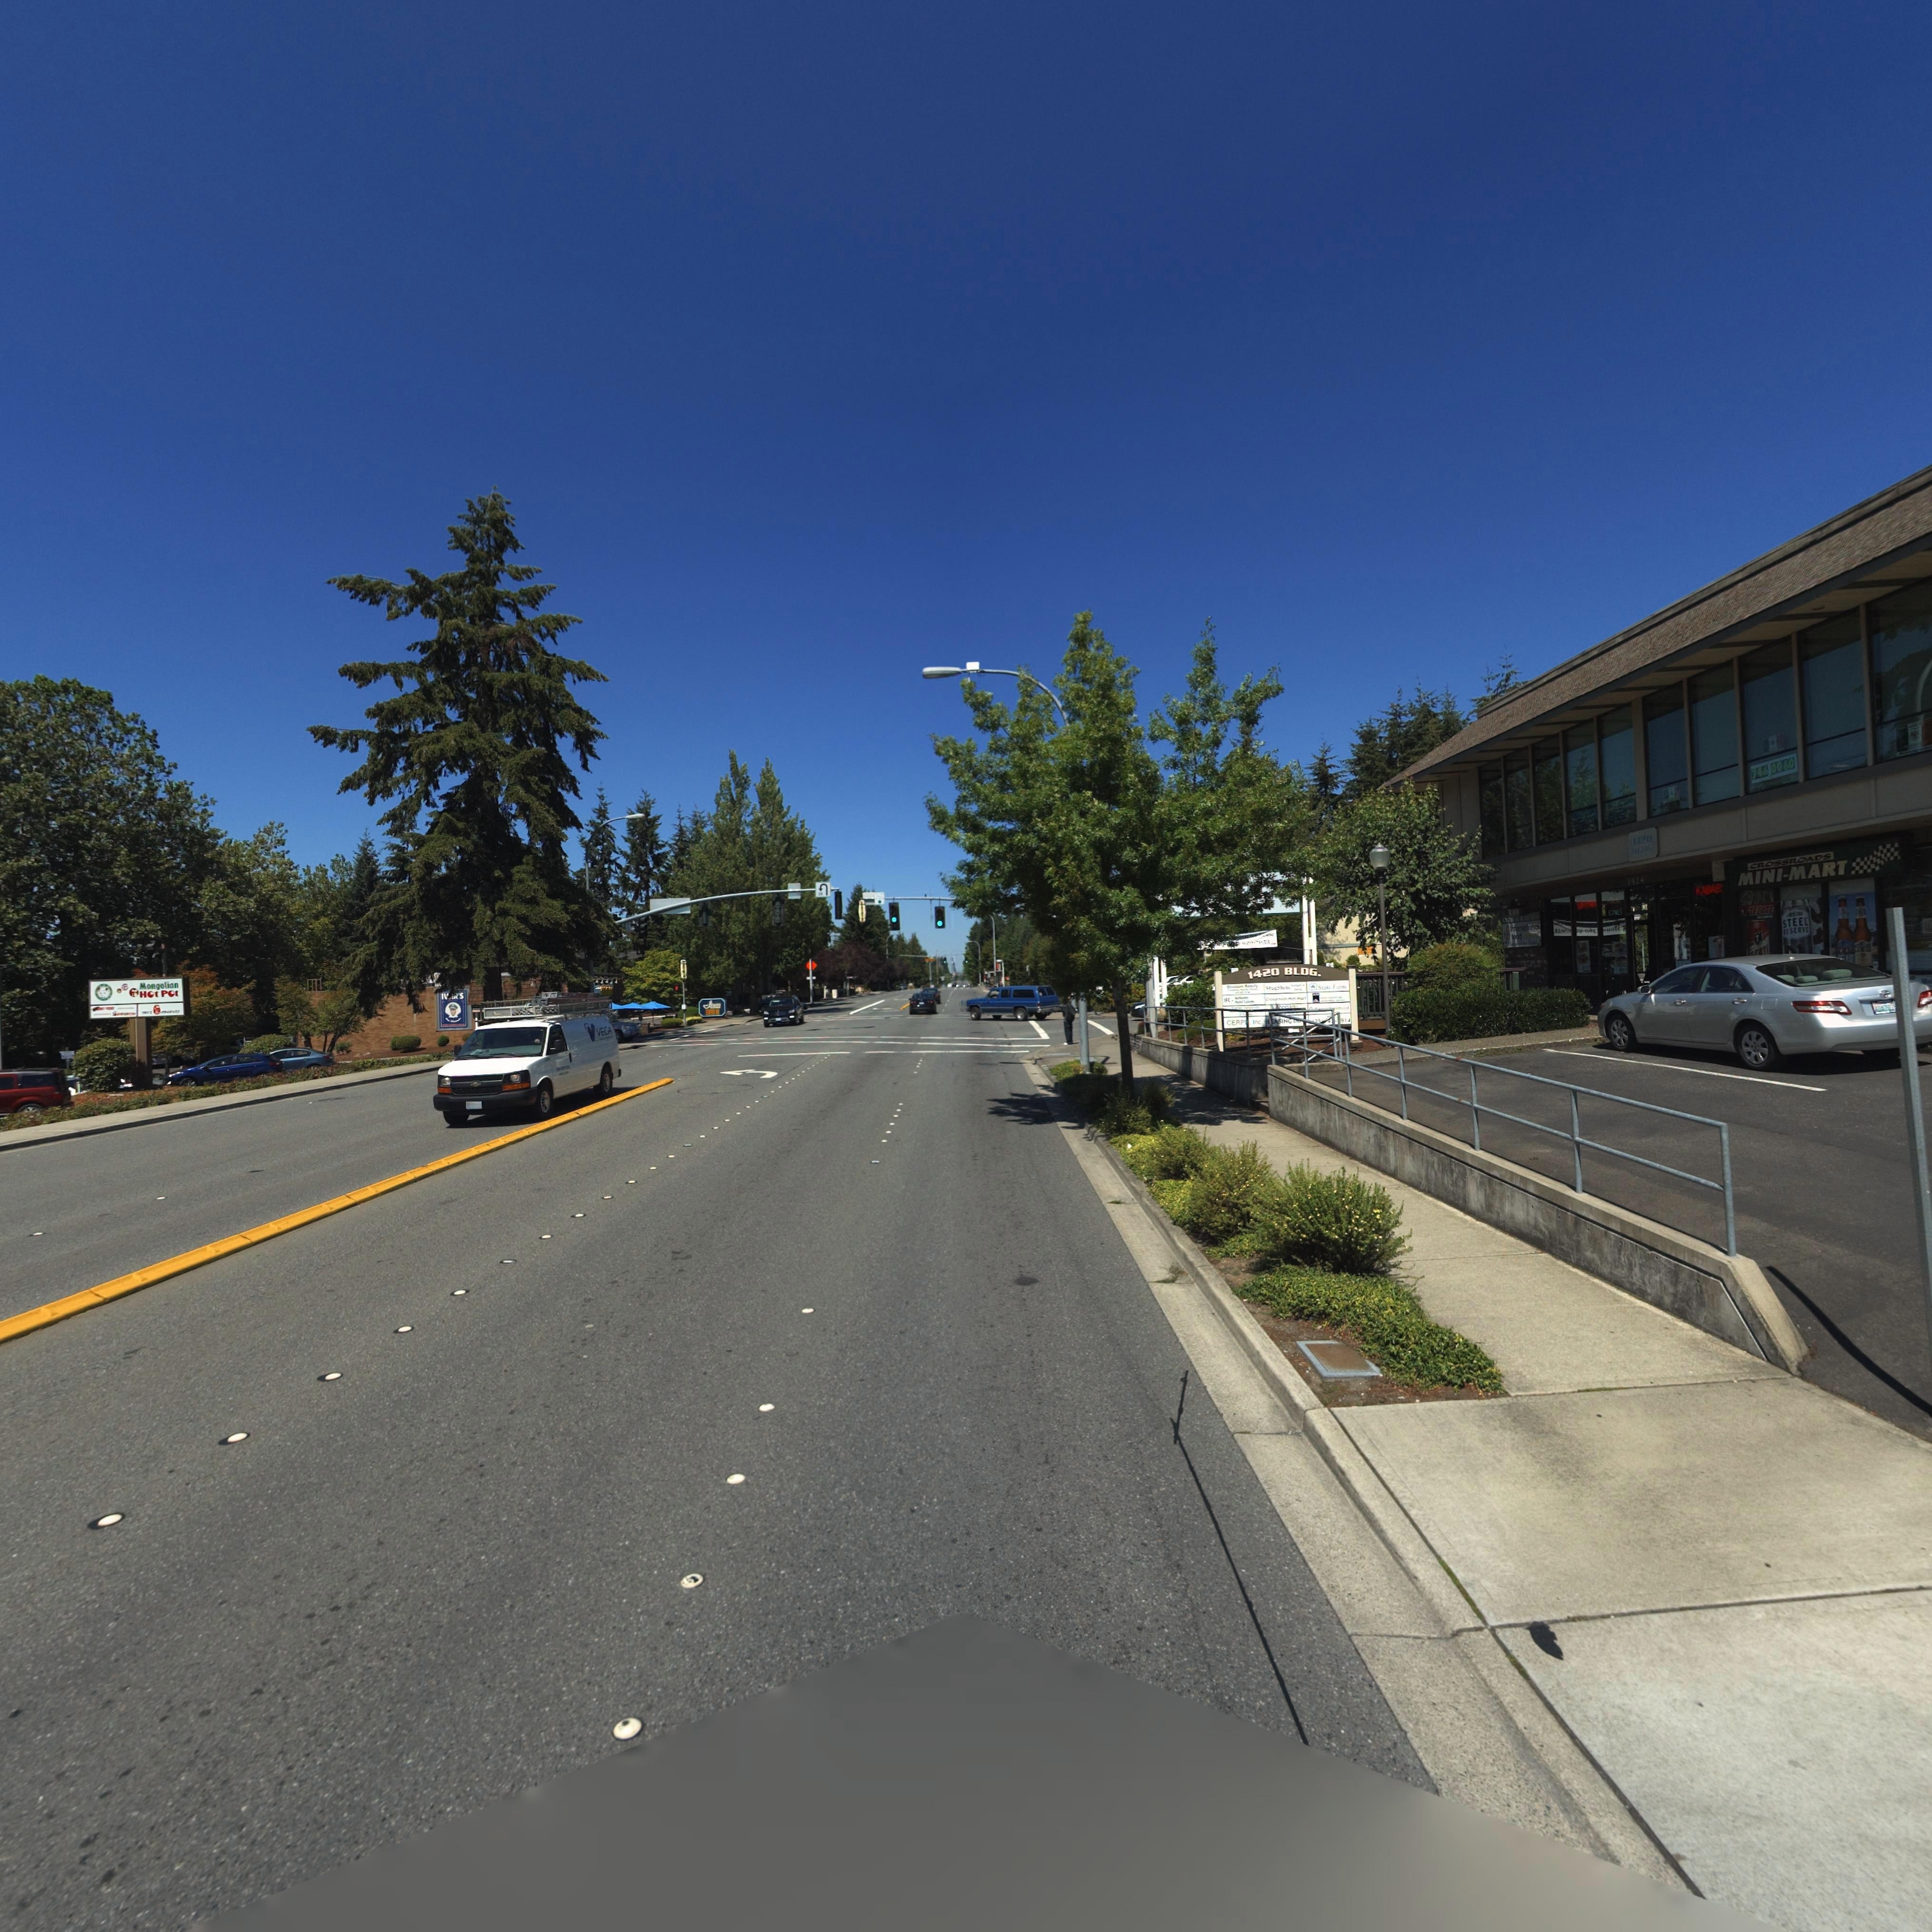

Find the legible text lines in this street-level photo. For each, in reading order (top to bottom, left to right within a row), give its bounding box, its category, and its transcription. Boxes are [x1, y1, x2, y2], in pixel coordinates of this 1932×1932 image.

[1633, 834, 1652, 845] StreetNumber: 1420
[1750, 852, 1831, 869] BusinessName: CROSSROADS
[1738, 860, 1848, 886] BusinessName: MINI*MART
[1247, 967, 1280, 979] StreetNumber: 1420
[139, 981, 179, 989] BusinessName: Mongolion
[1318, 984, 1347, 990] BusinessName: State Farm
[139, 990, 178, 998] BusinessName: Hot Pot
[702, 999, 713, 1009] BusinessName: I